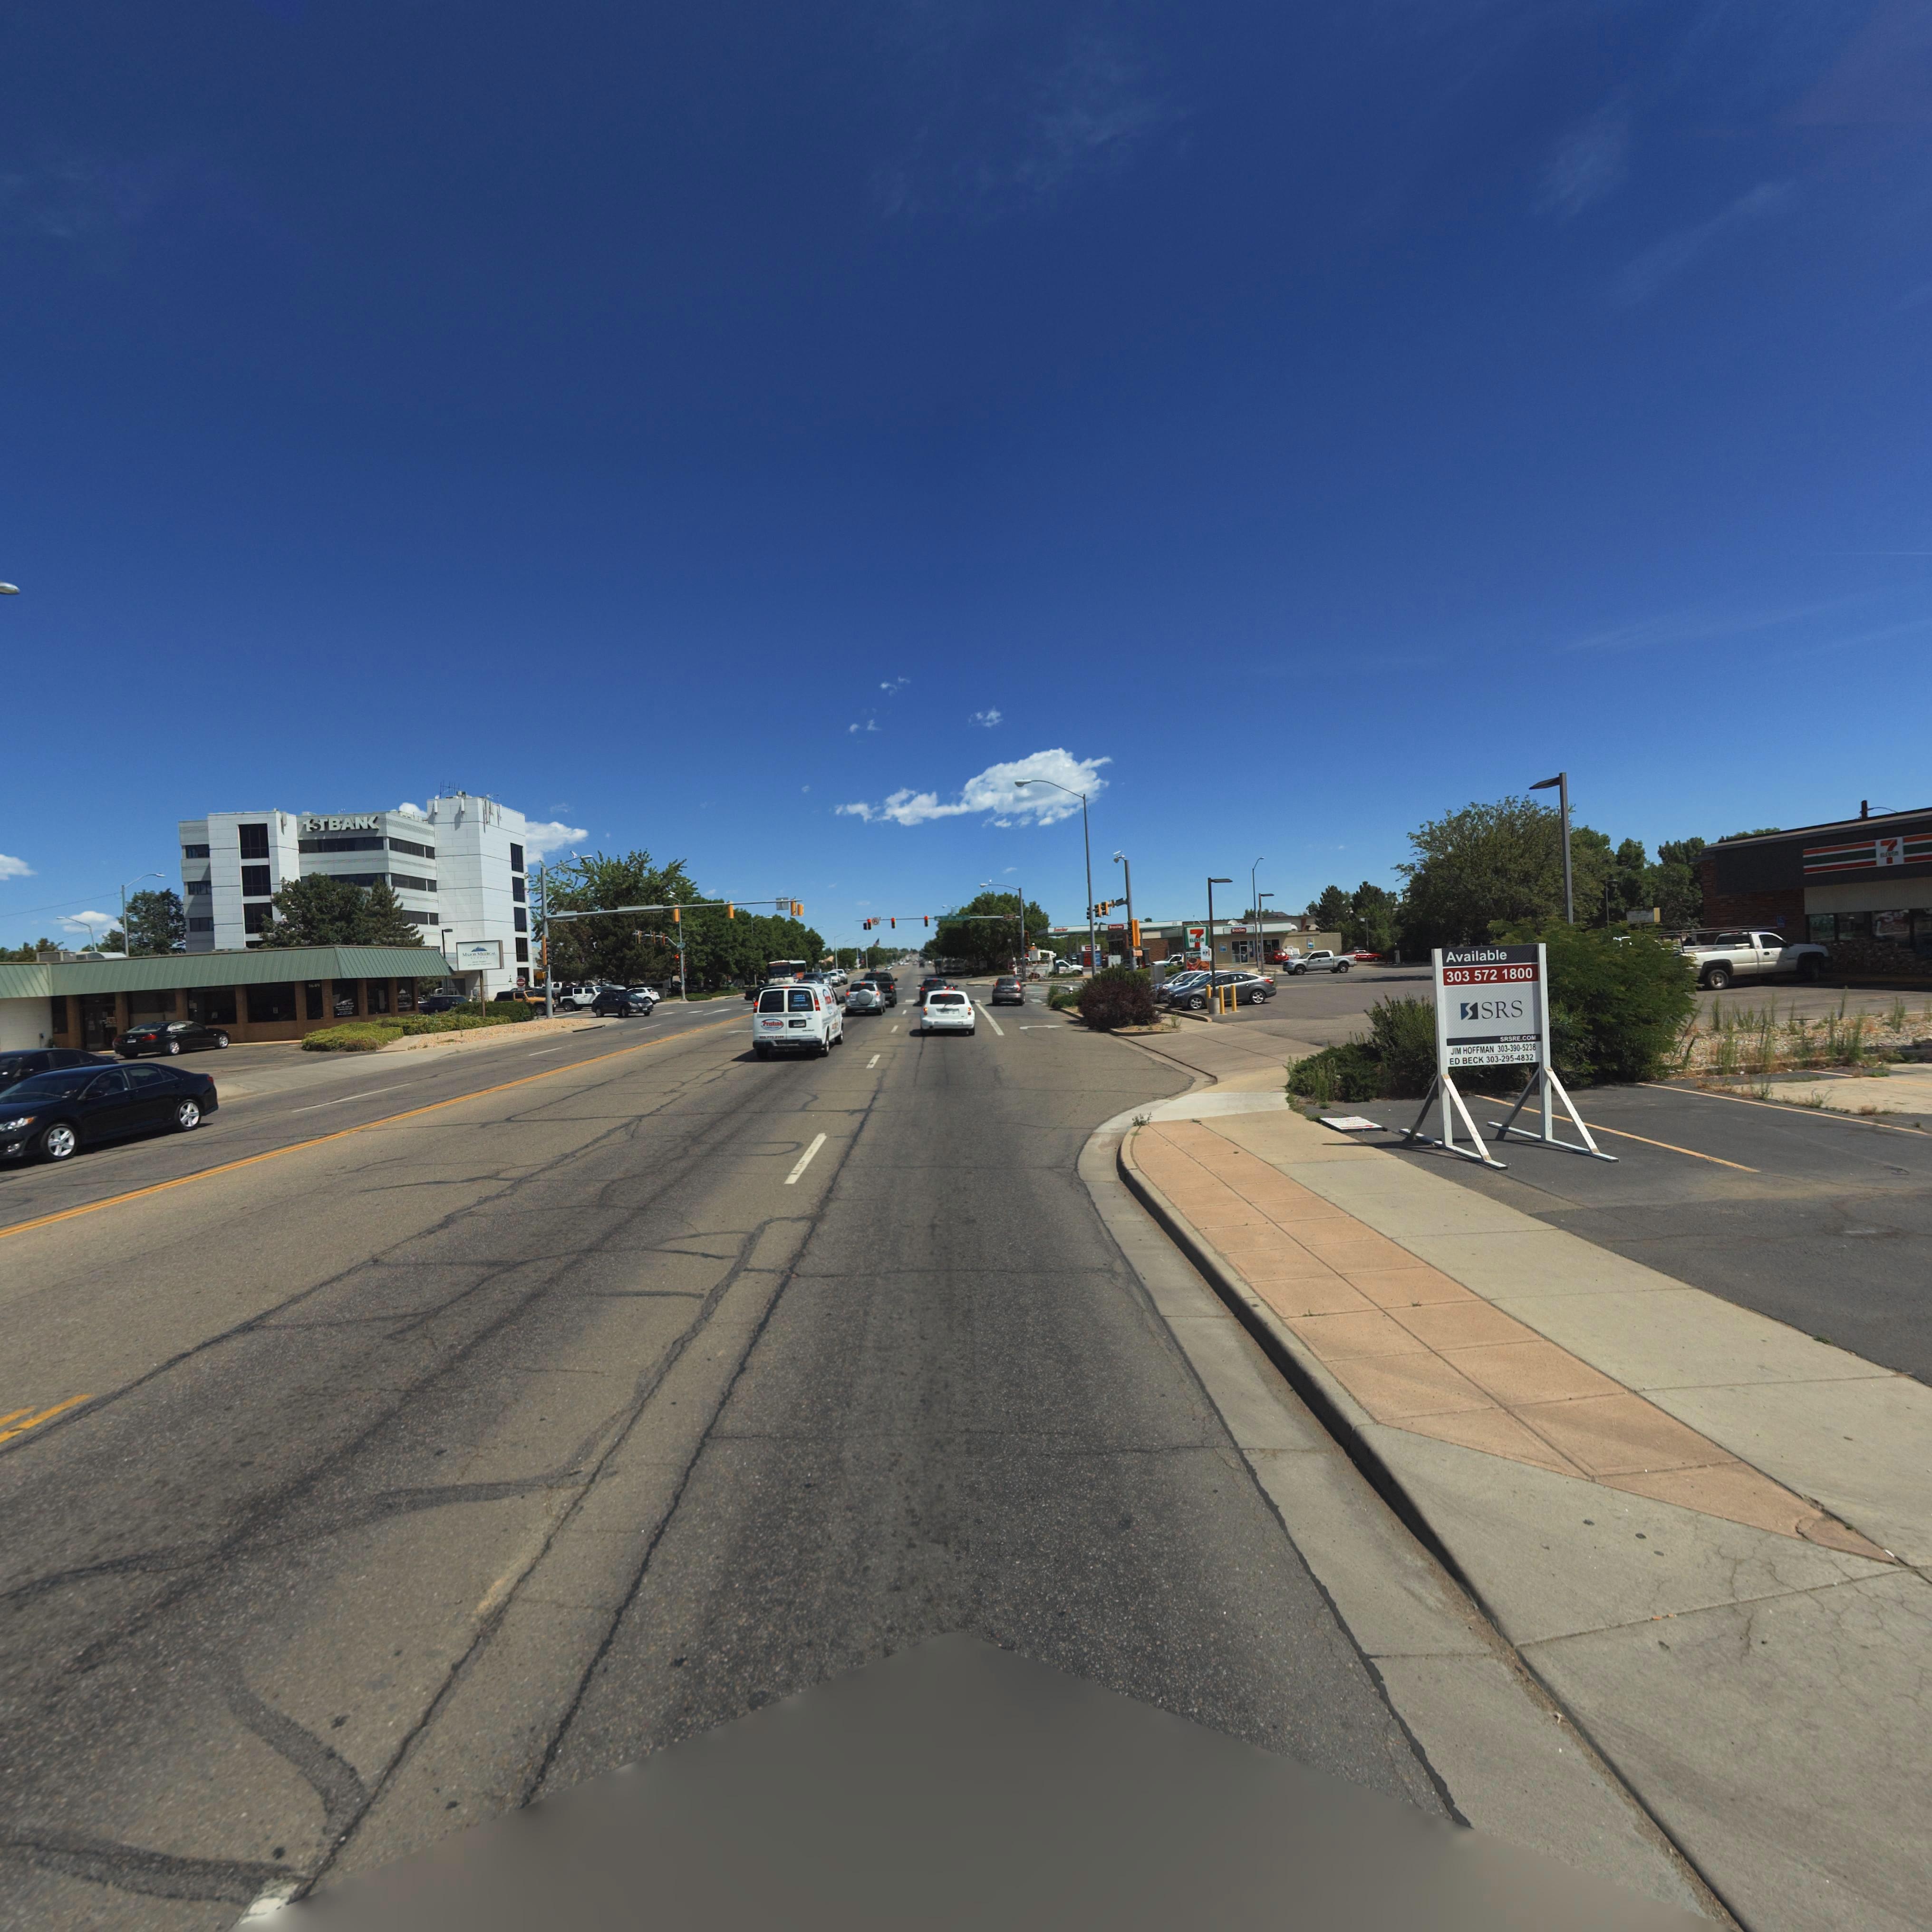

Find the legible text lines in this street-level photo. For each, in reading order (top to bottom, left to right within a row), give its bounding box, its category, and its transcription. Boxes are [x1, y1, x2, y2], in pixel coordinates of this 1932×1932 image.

[302, 815, 379, 833] BusinessName: 1STBAN*
[1880, 838, 1898, 865] BusinessName: 7
[1053, 927, 1068, 932] BusinessName: S**cl**r
[1109, 925, 1123, 929] BusinessName: ***d***
[1232, 927, 1246, 933] BusinessName: ***d***
[1189, 928, 1205, 948] BusinessName: 7
[308, 983, 320, 988] StreetNumber: 1***